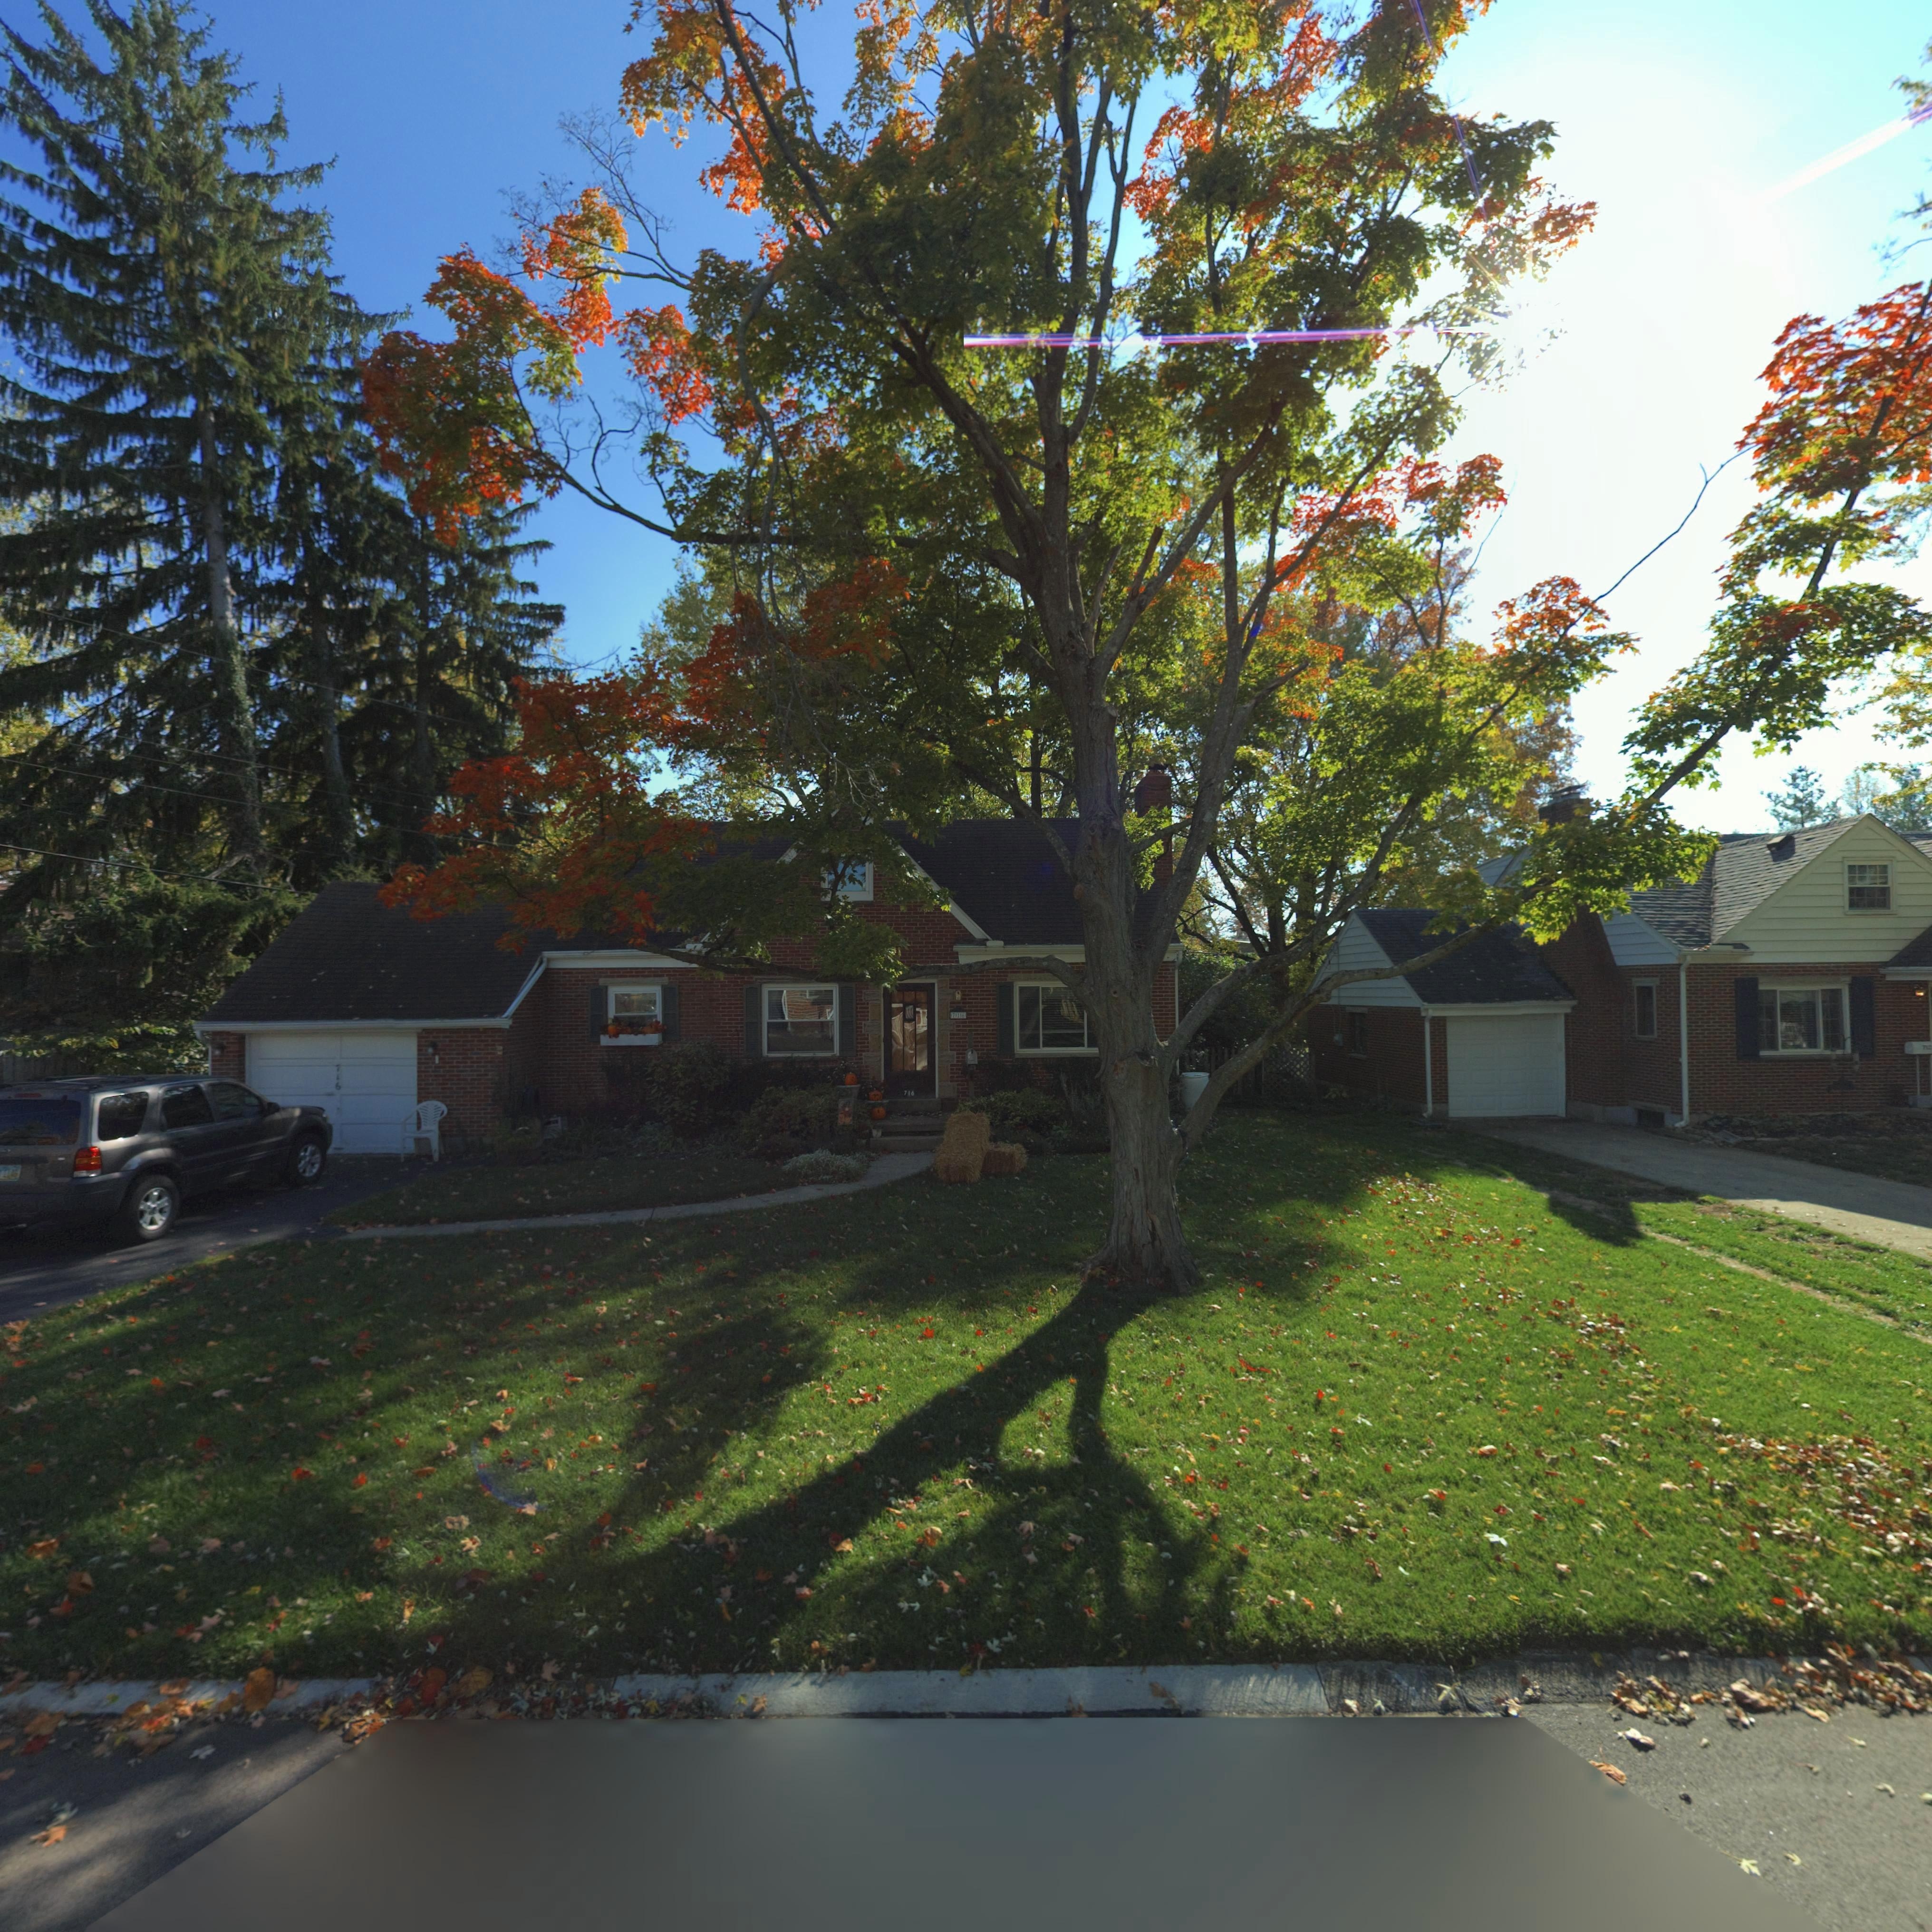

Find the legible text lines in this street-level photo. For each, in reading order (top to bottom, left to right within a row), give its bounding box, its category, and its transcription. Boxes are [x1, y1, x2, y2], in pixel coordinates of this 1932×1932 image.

[951, 1012, 966, 1019] StreetNumber: 7*1*6
[902, 1089, 915, 1097] StreetNumber: 716